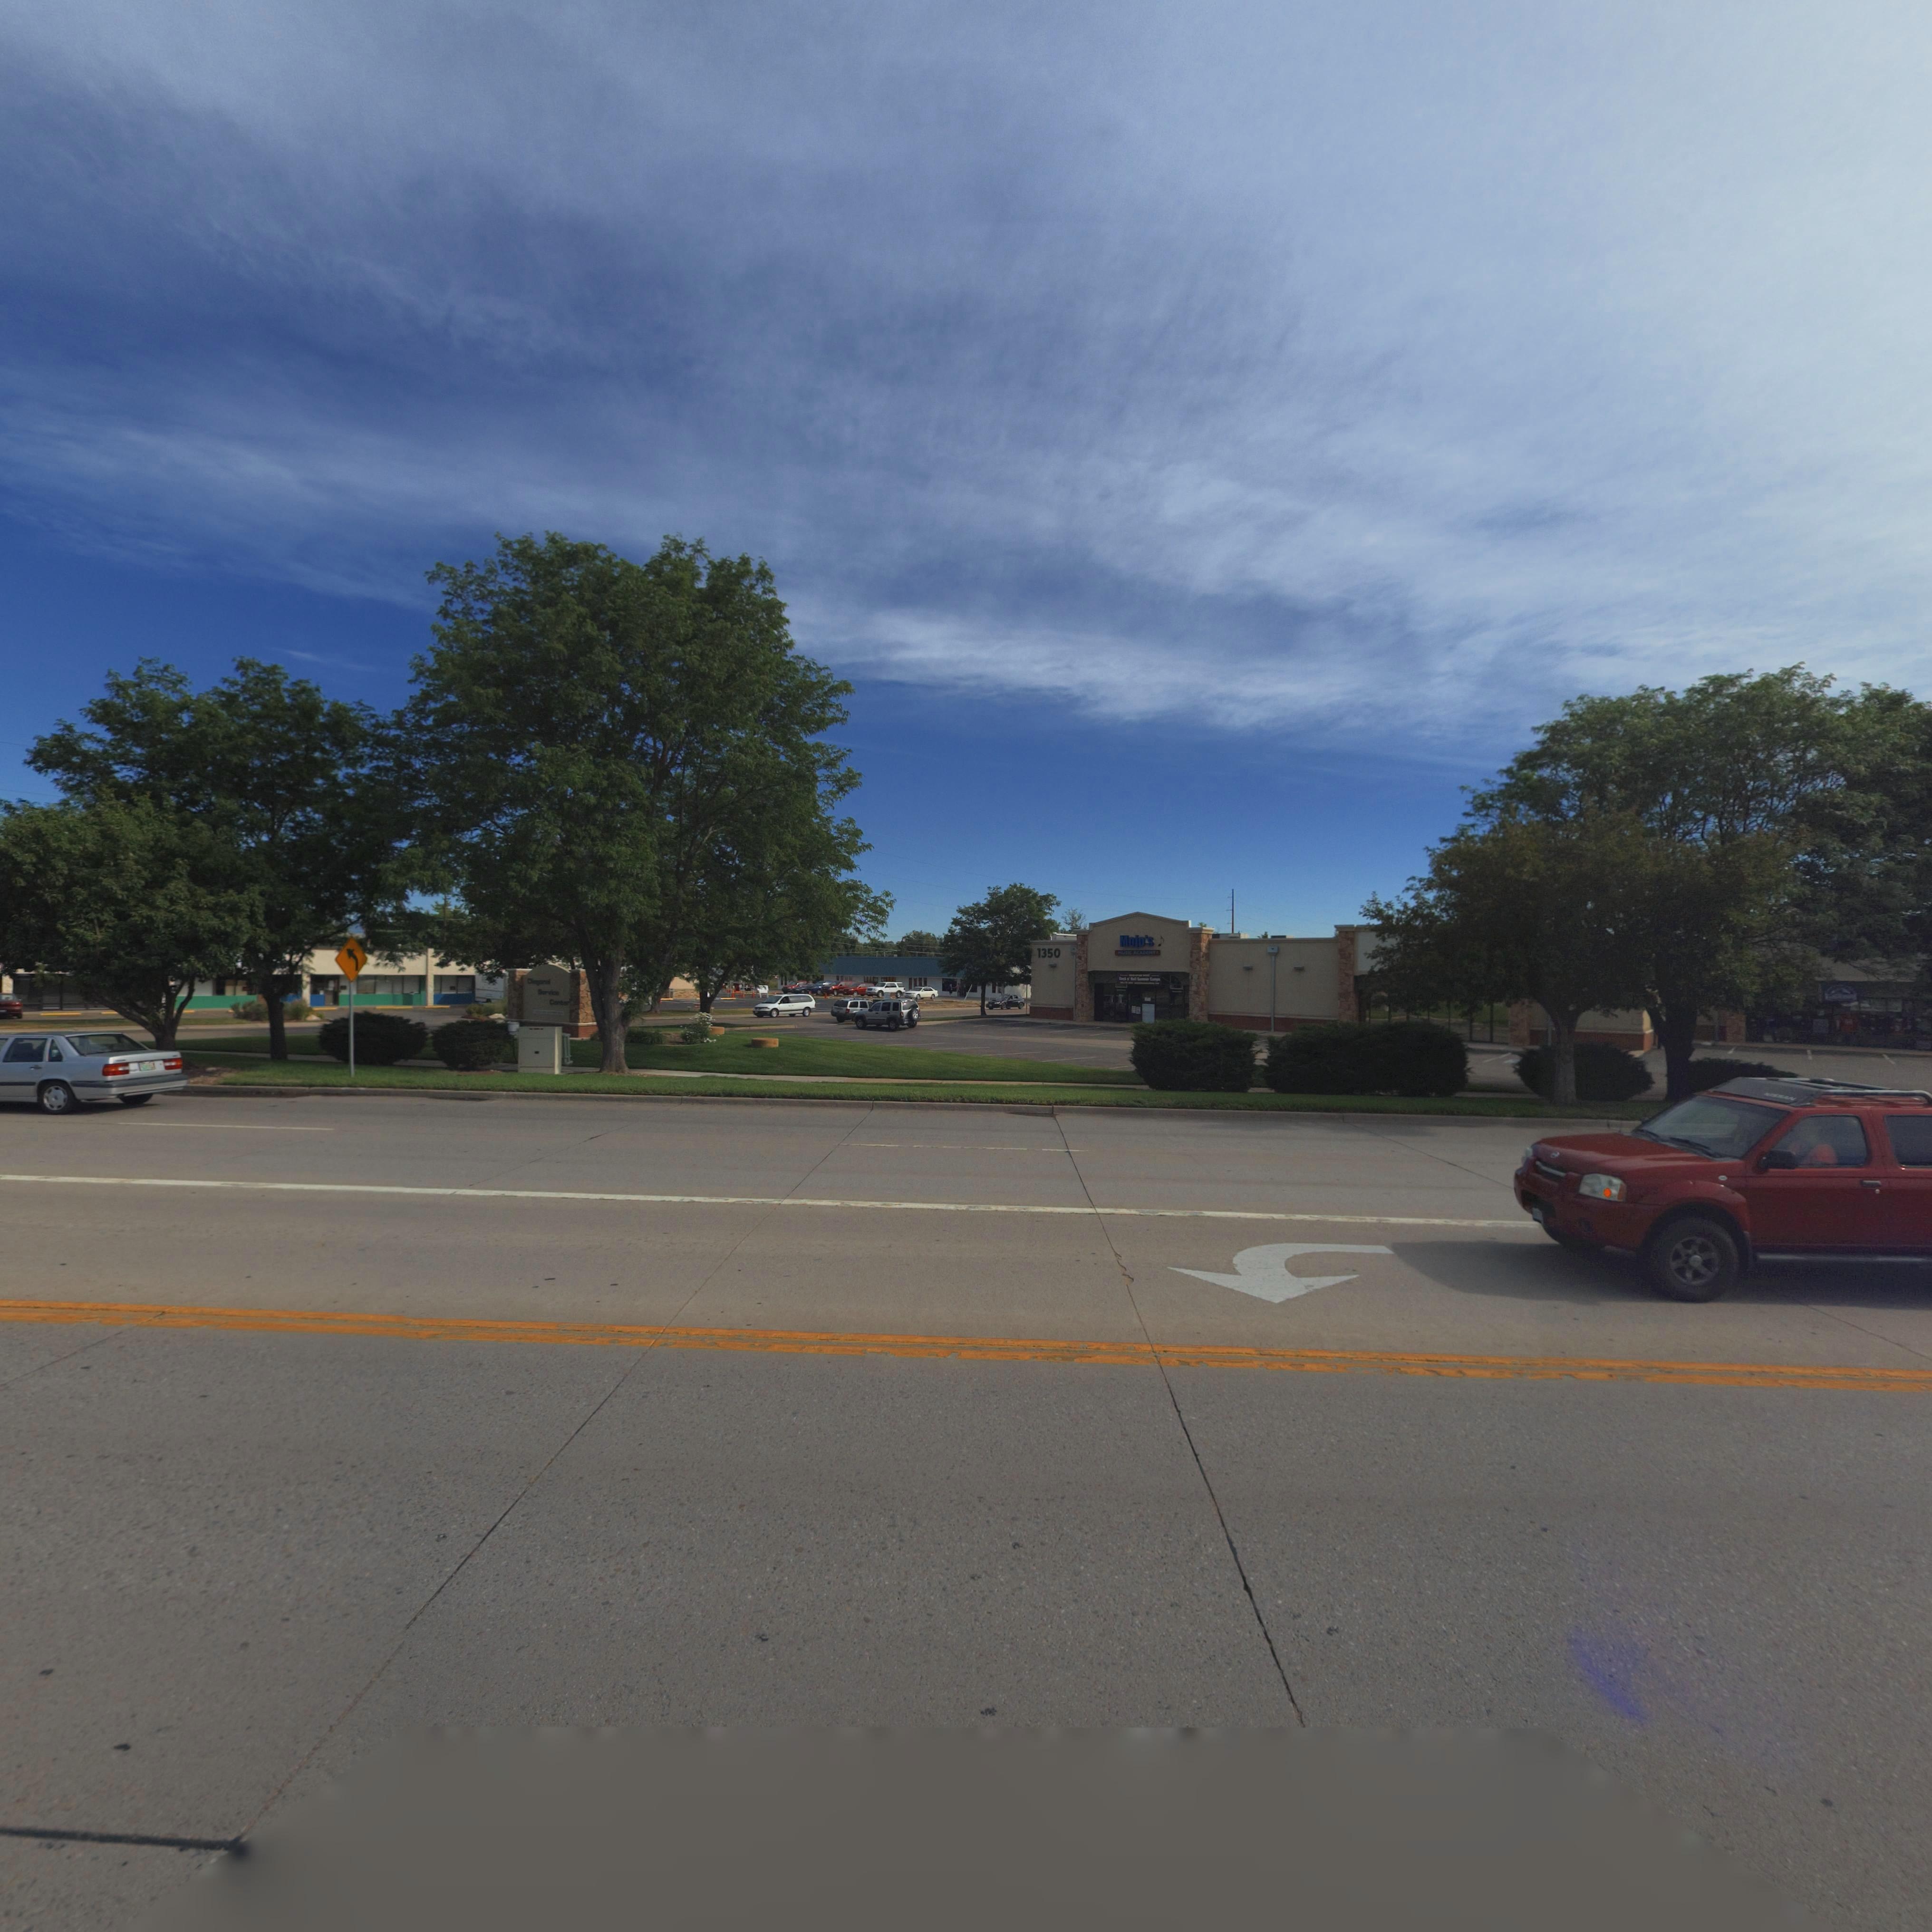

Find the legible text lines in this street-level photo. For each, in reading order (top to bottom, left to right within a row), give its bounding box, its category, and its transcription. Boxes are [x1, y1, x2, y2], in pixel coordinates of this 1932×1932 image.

[1119, 935, 1154, 947] BusinessName: Mojo's
[1037, 948, 1061, 958] StreetNumber: 1350
[1118, 950, 1156, 954] BusinessName: MUSIC ACADEMY